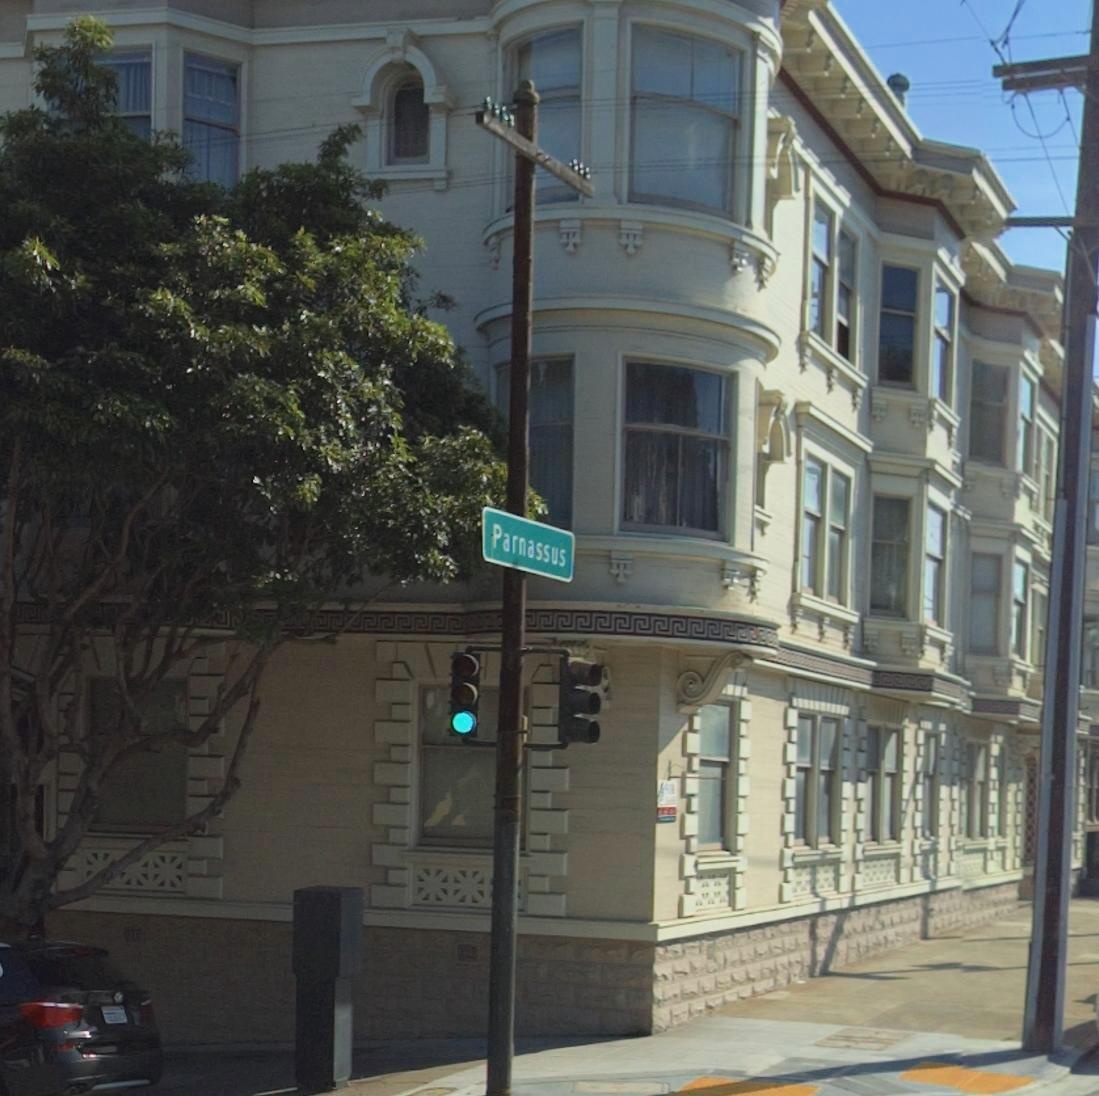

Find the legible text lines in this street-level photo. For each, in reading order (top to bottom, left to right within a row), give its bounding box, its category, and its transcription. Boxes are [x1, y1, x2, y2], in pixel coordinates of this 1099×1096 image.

[490, 521, 567, 570] StreetName: Parnassus